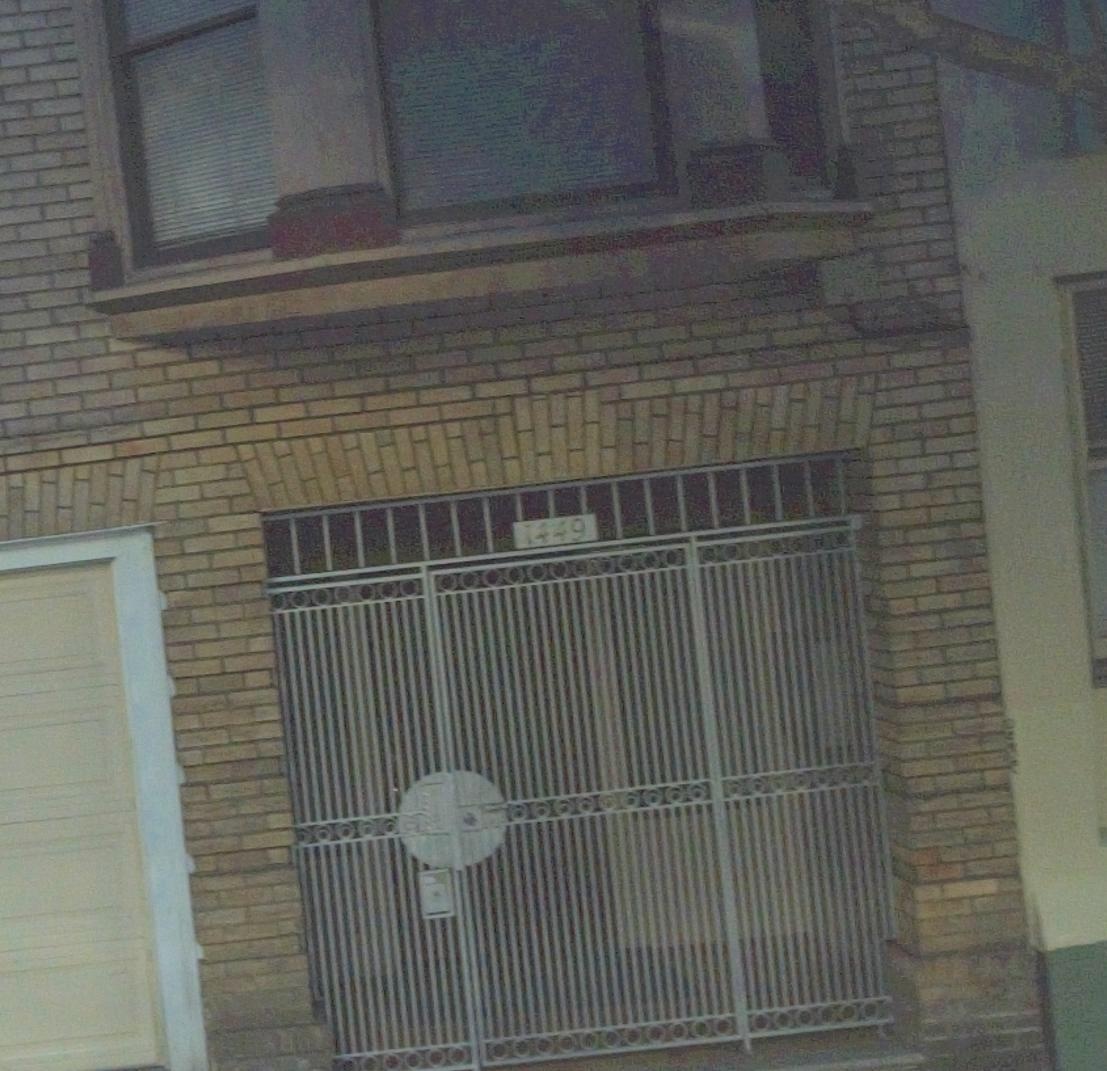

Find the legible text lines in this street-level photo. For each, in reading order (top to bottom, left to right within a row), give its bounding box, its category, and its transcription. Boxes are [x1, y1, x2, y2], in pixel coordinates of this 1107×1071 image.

[521, 514, 588, 548] StreetNumber: 1449